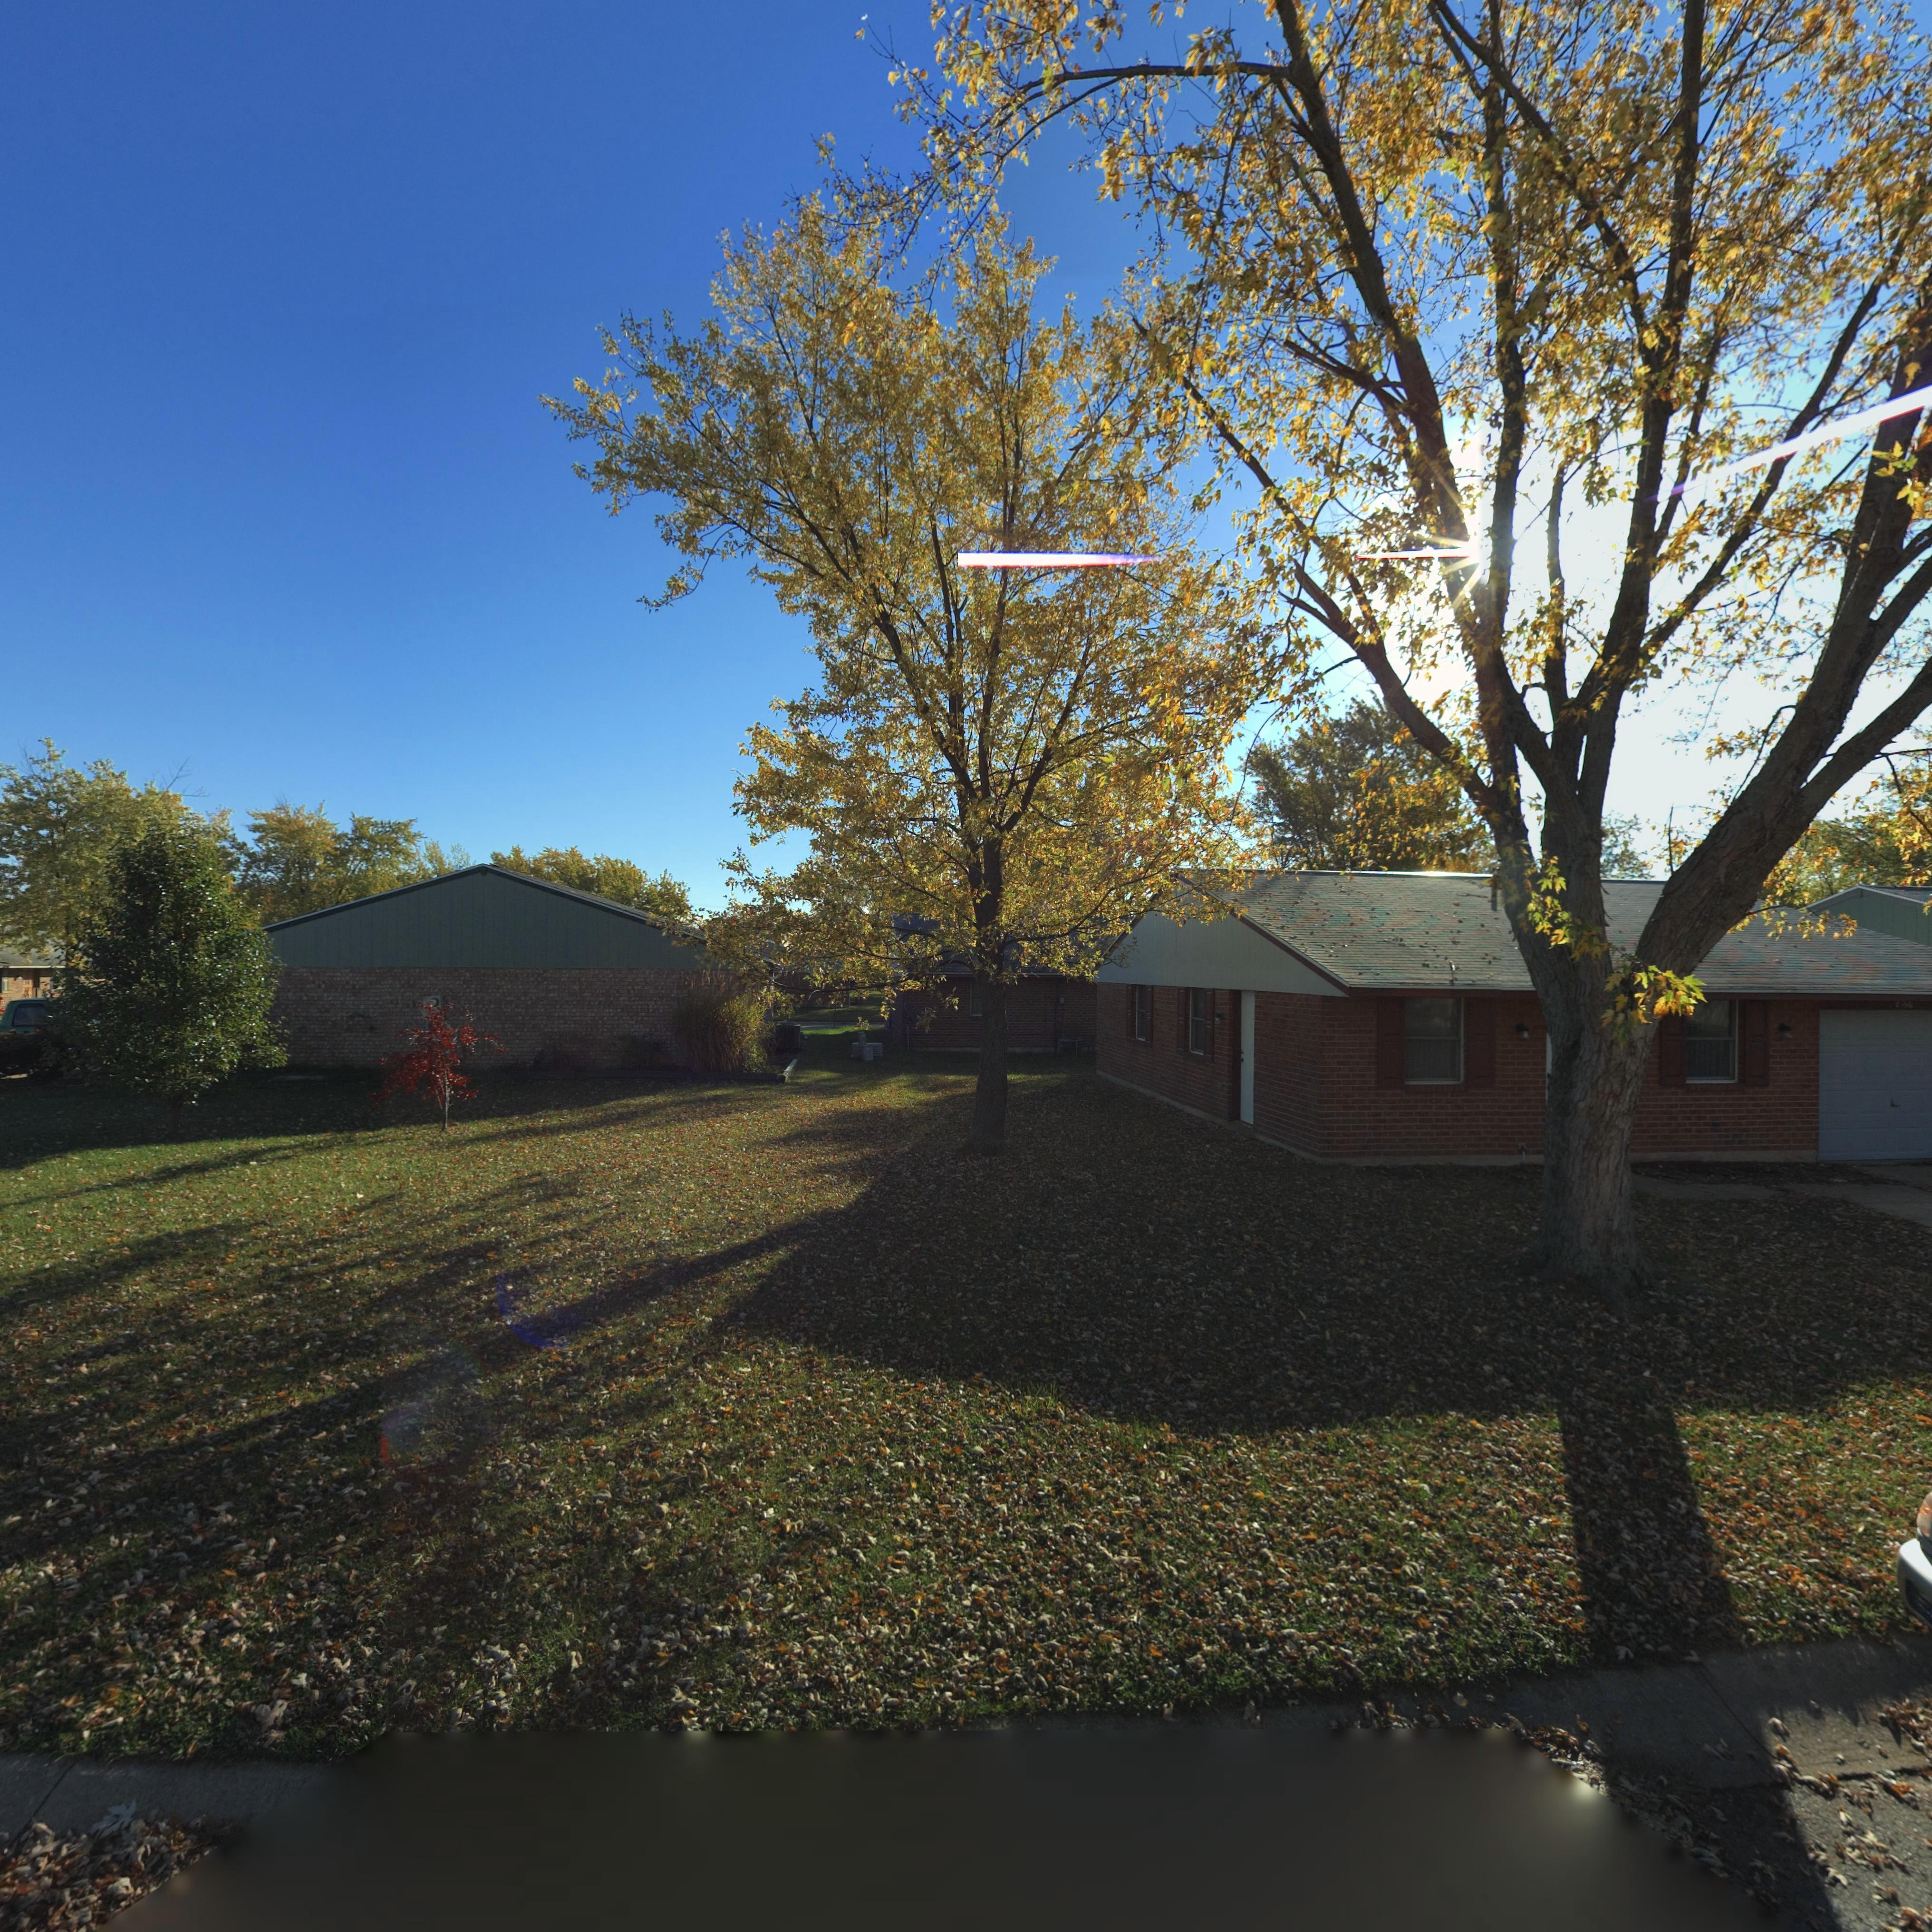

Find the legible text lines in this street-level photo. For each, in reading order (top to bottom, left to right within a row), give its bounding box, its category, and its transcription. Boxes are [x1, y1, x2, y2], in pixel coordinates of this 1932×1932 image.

[1894, 1000, 1913, 1009] StreetNumber: 8166